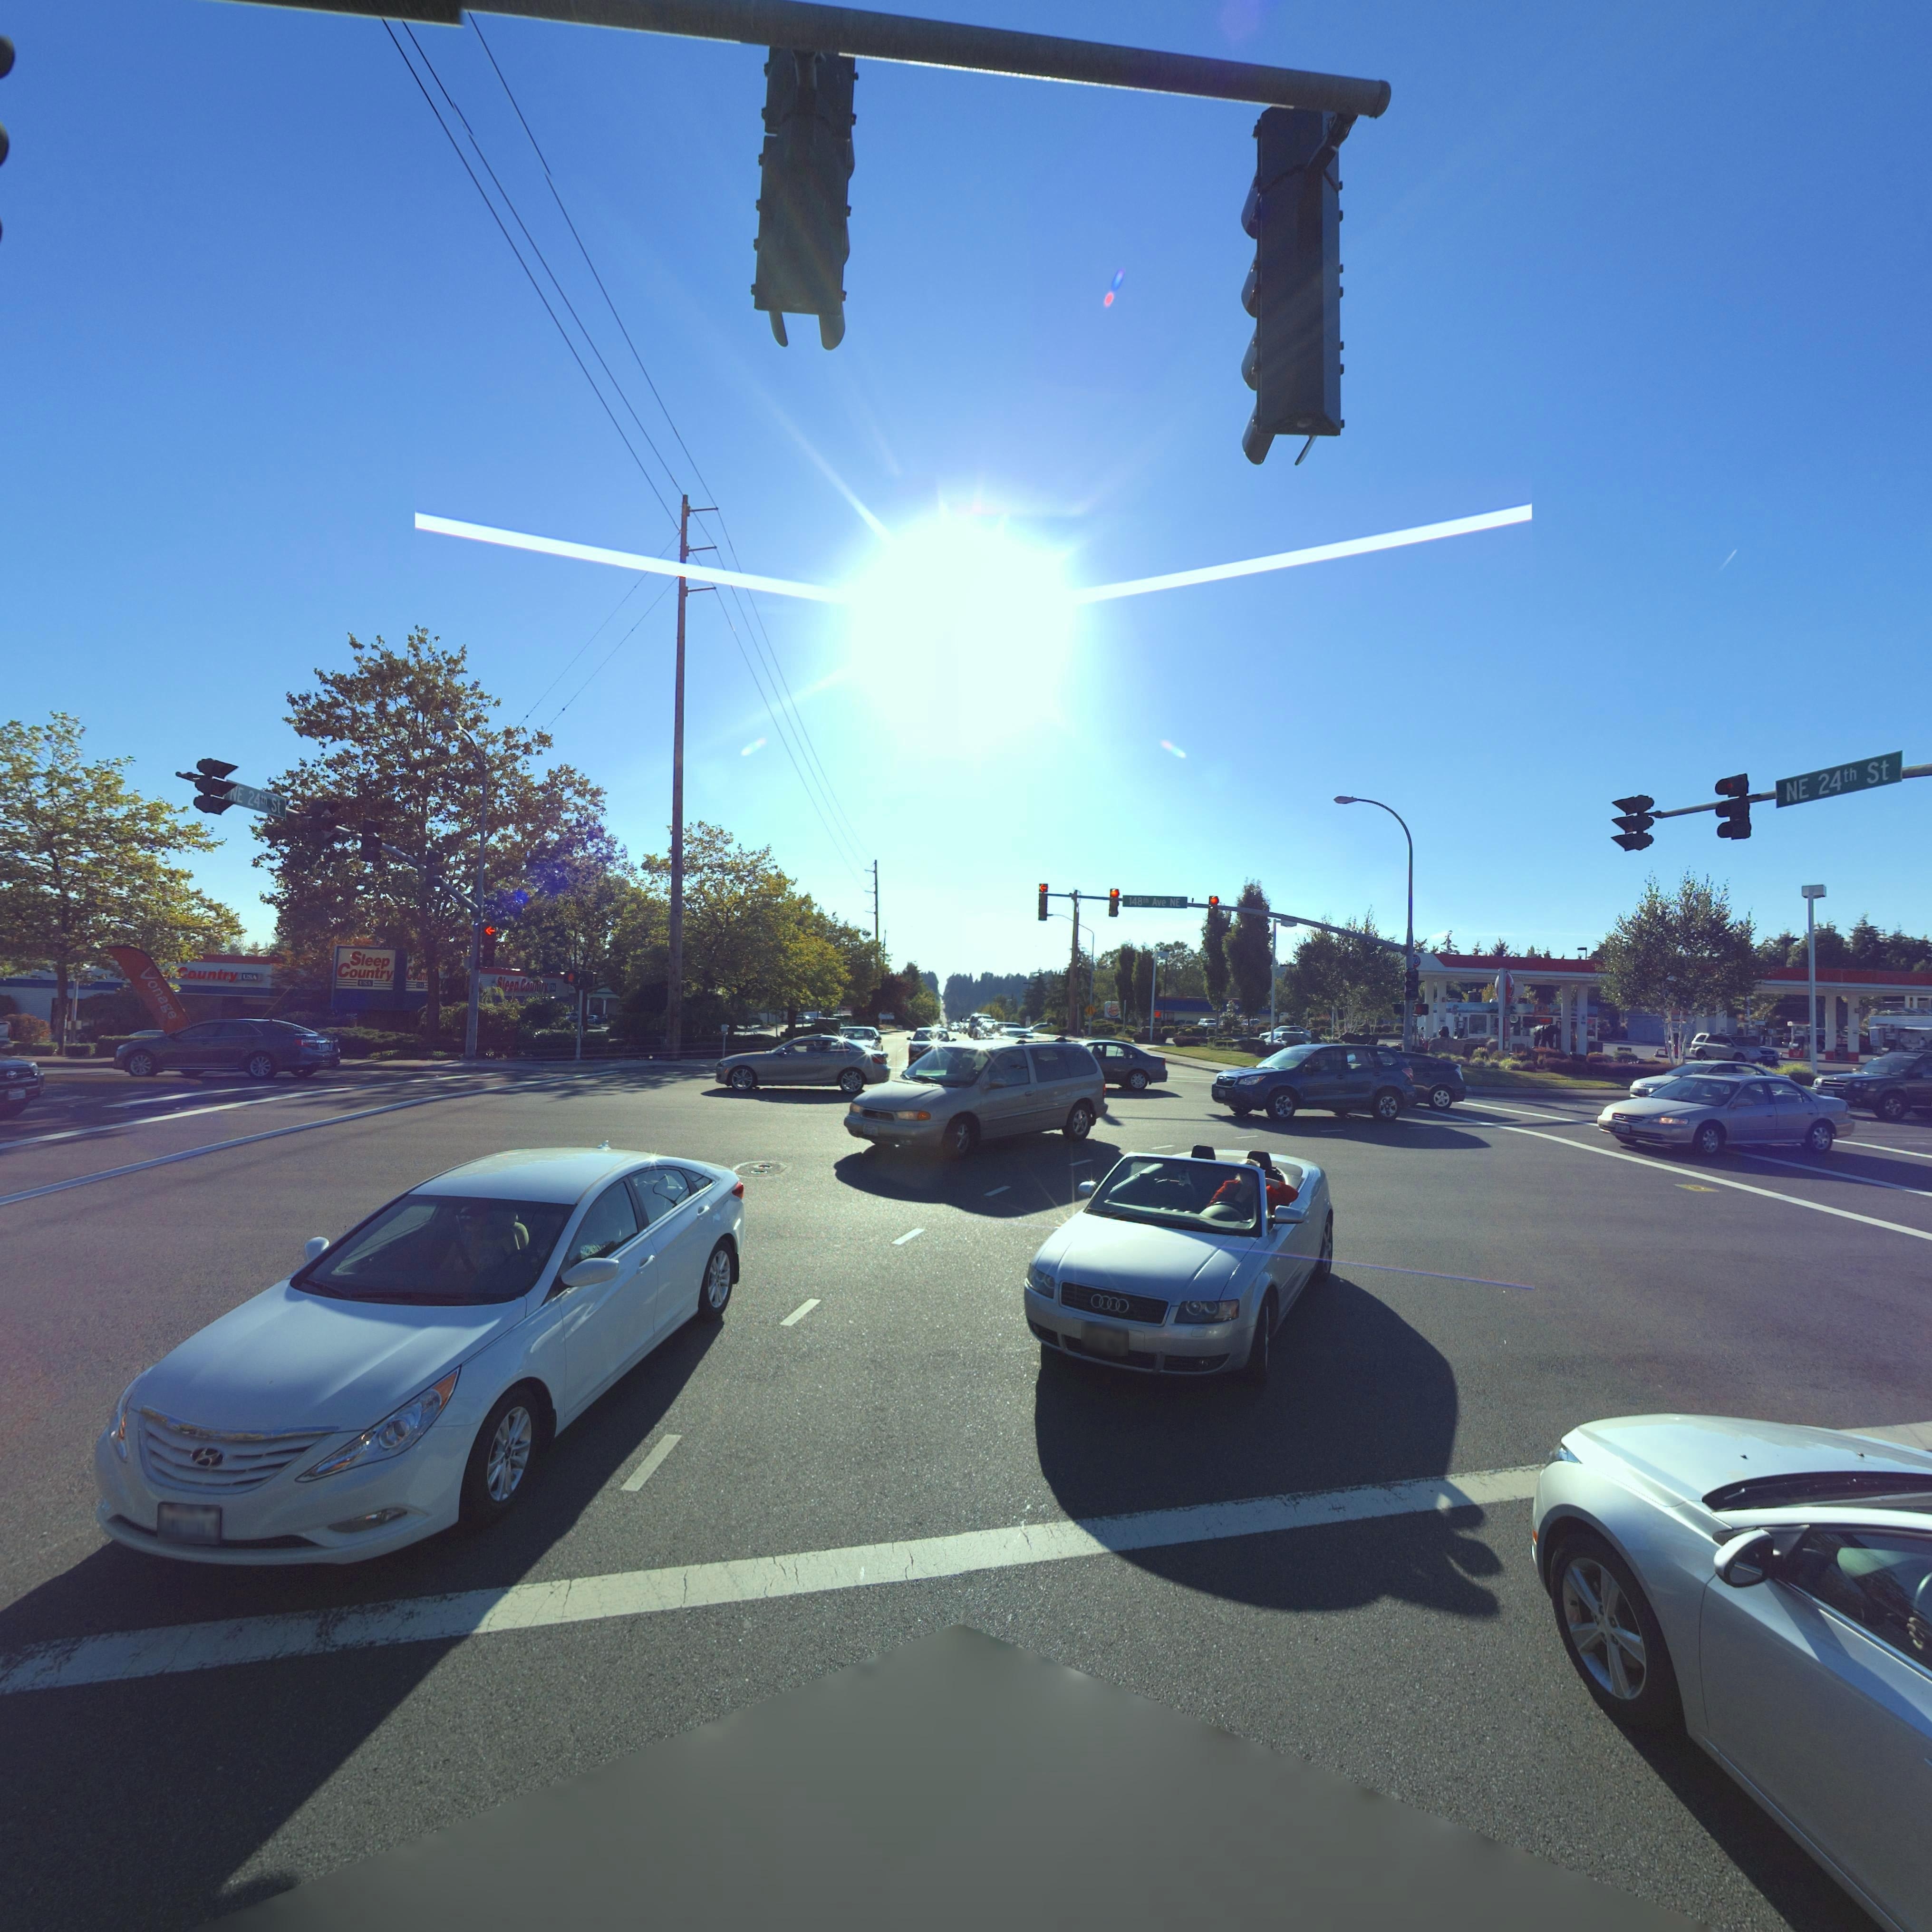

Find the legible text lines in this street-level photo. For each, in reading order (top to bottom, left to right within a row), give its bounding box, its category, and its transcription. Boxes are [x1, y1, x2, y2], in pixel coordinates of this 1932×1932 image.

[1784, 757, 1893, 803] StreetName: NE 24th St
[230, 784, 281, 815] StreetName: NE 24th ST
[1128, 896, 1181, 908] StreetName: 148th Ave NE
[349, 949, 391, 969] BusinessName: Sleep
[137, 963, 180, 1022] BusinessName: Vonage
[174, 965, 259, 985] BusinessName: *ountry USA
[358, 980, 372, 986] BusinessName: USA
[336, 961, 395, 983] BusinessName: Country
[494, 974, 560, 998] BusinessName: *leep Coun*r* USA